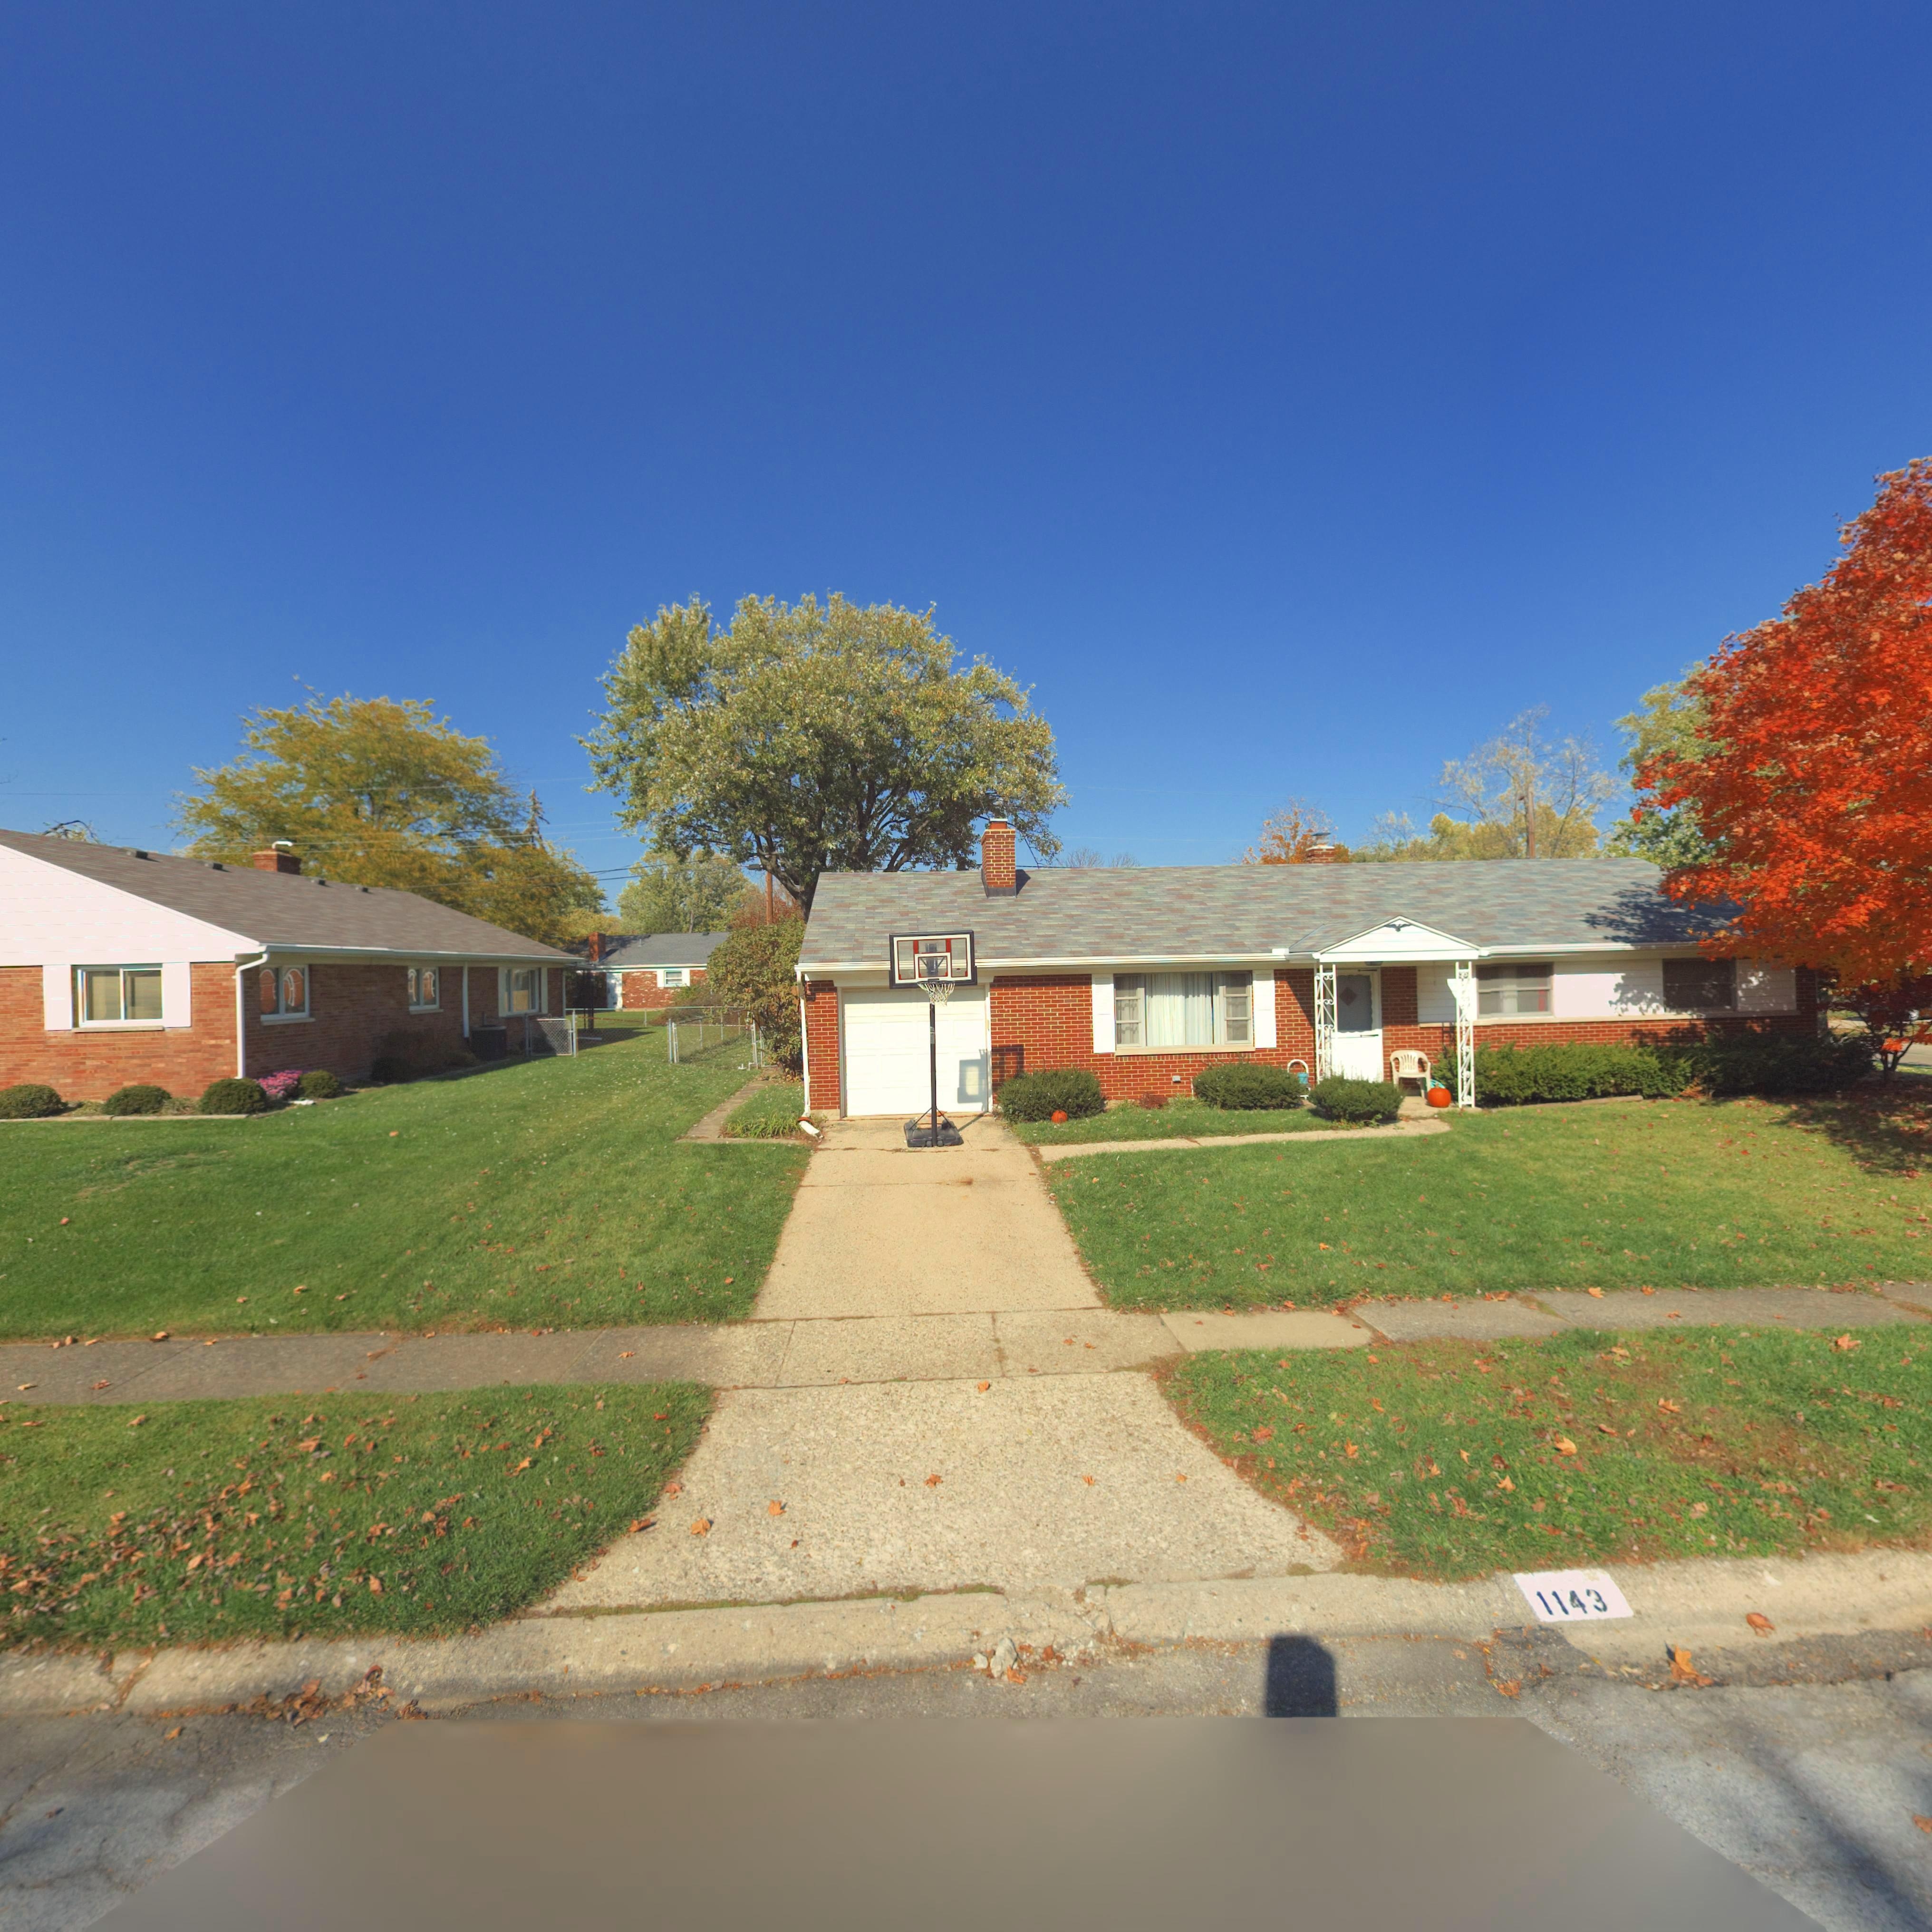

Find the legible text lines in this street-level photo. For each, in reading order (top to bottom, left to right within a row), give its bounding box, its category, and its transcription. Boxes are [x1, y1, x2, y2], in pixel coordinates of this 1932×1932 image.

[1533, 1584, 1611, 1617] StreetNumber: 1143